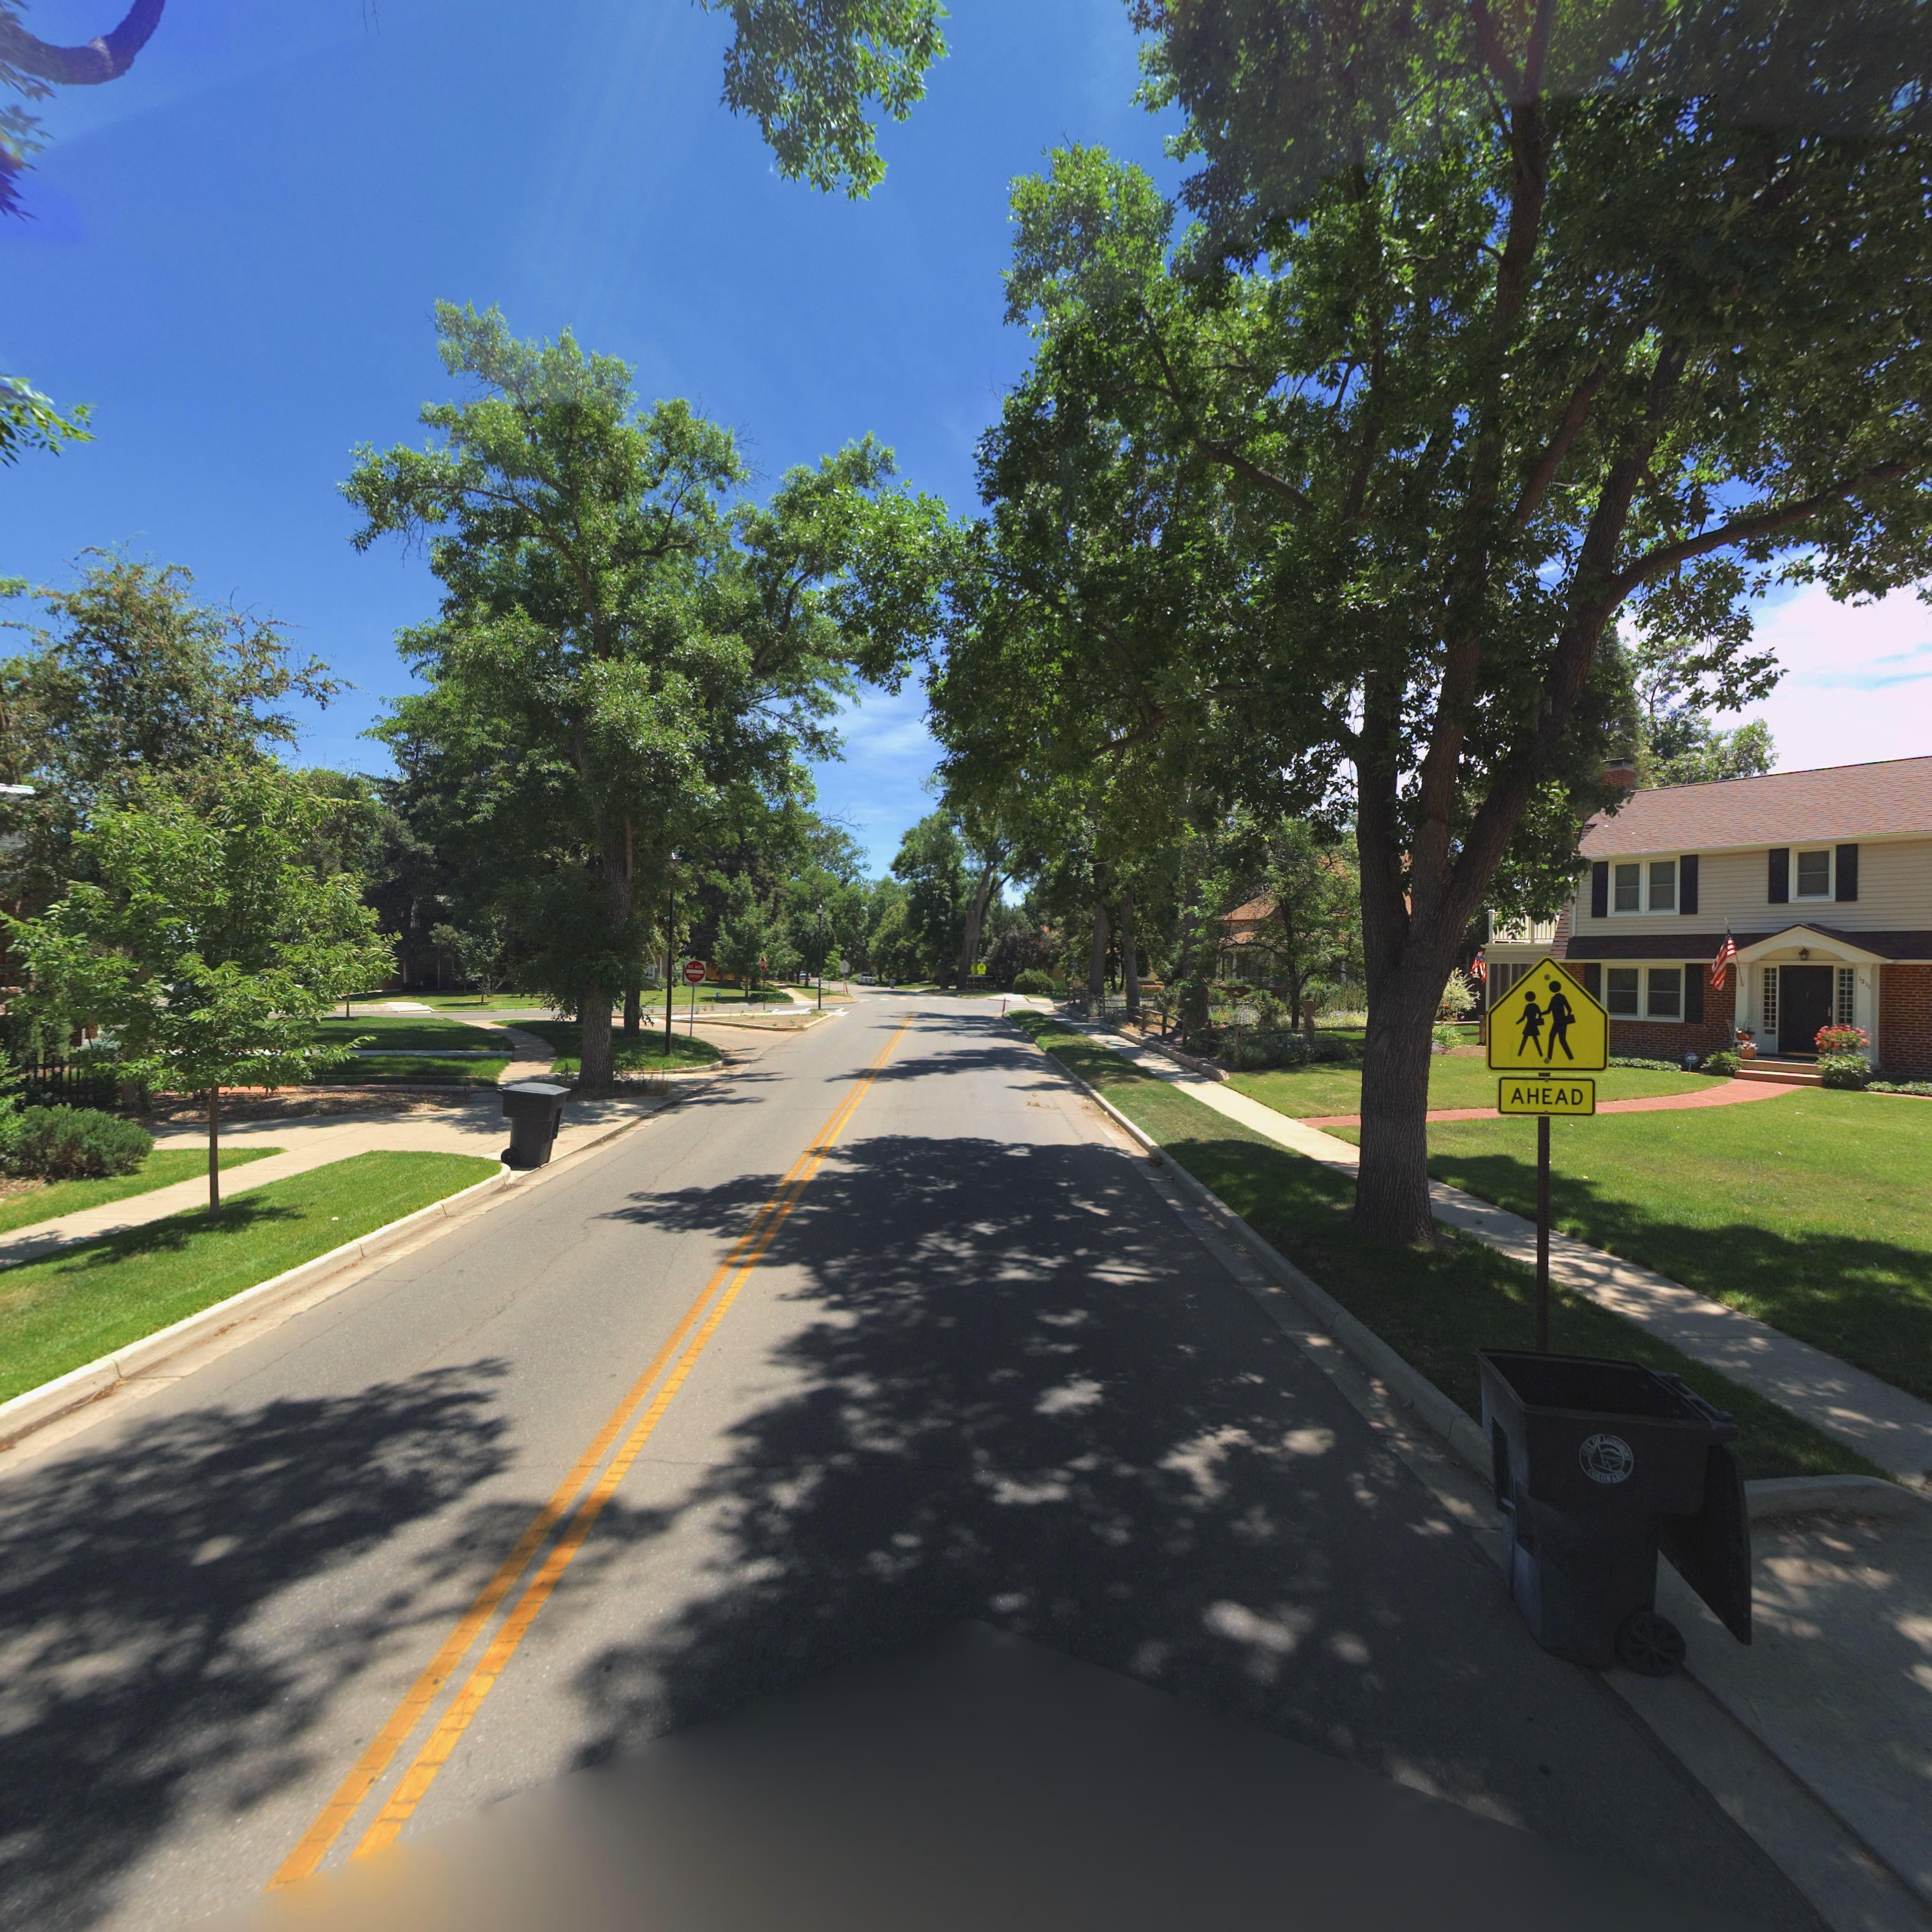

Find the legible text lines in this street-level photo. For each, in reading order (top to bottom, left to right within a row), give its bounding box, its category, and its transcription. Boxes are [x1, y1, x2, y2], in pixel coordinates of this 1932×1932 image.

[1858, 975, 1871, 990] StreetNumber: 1211